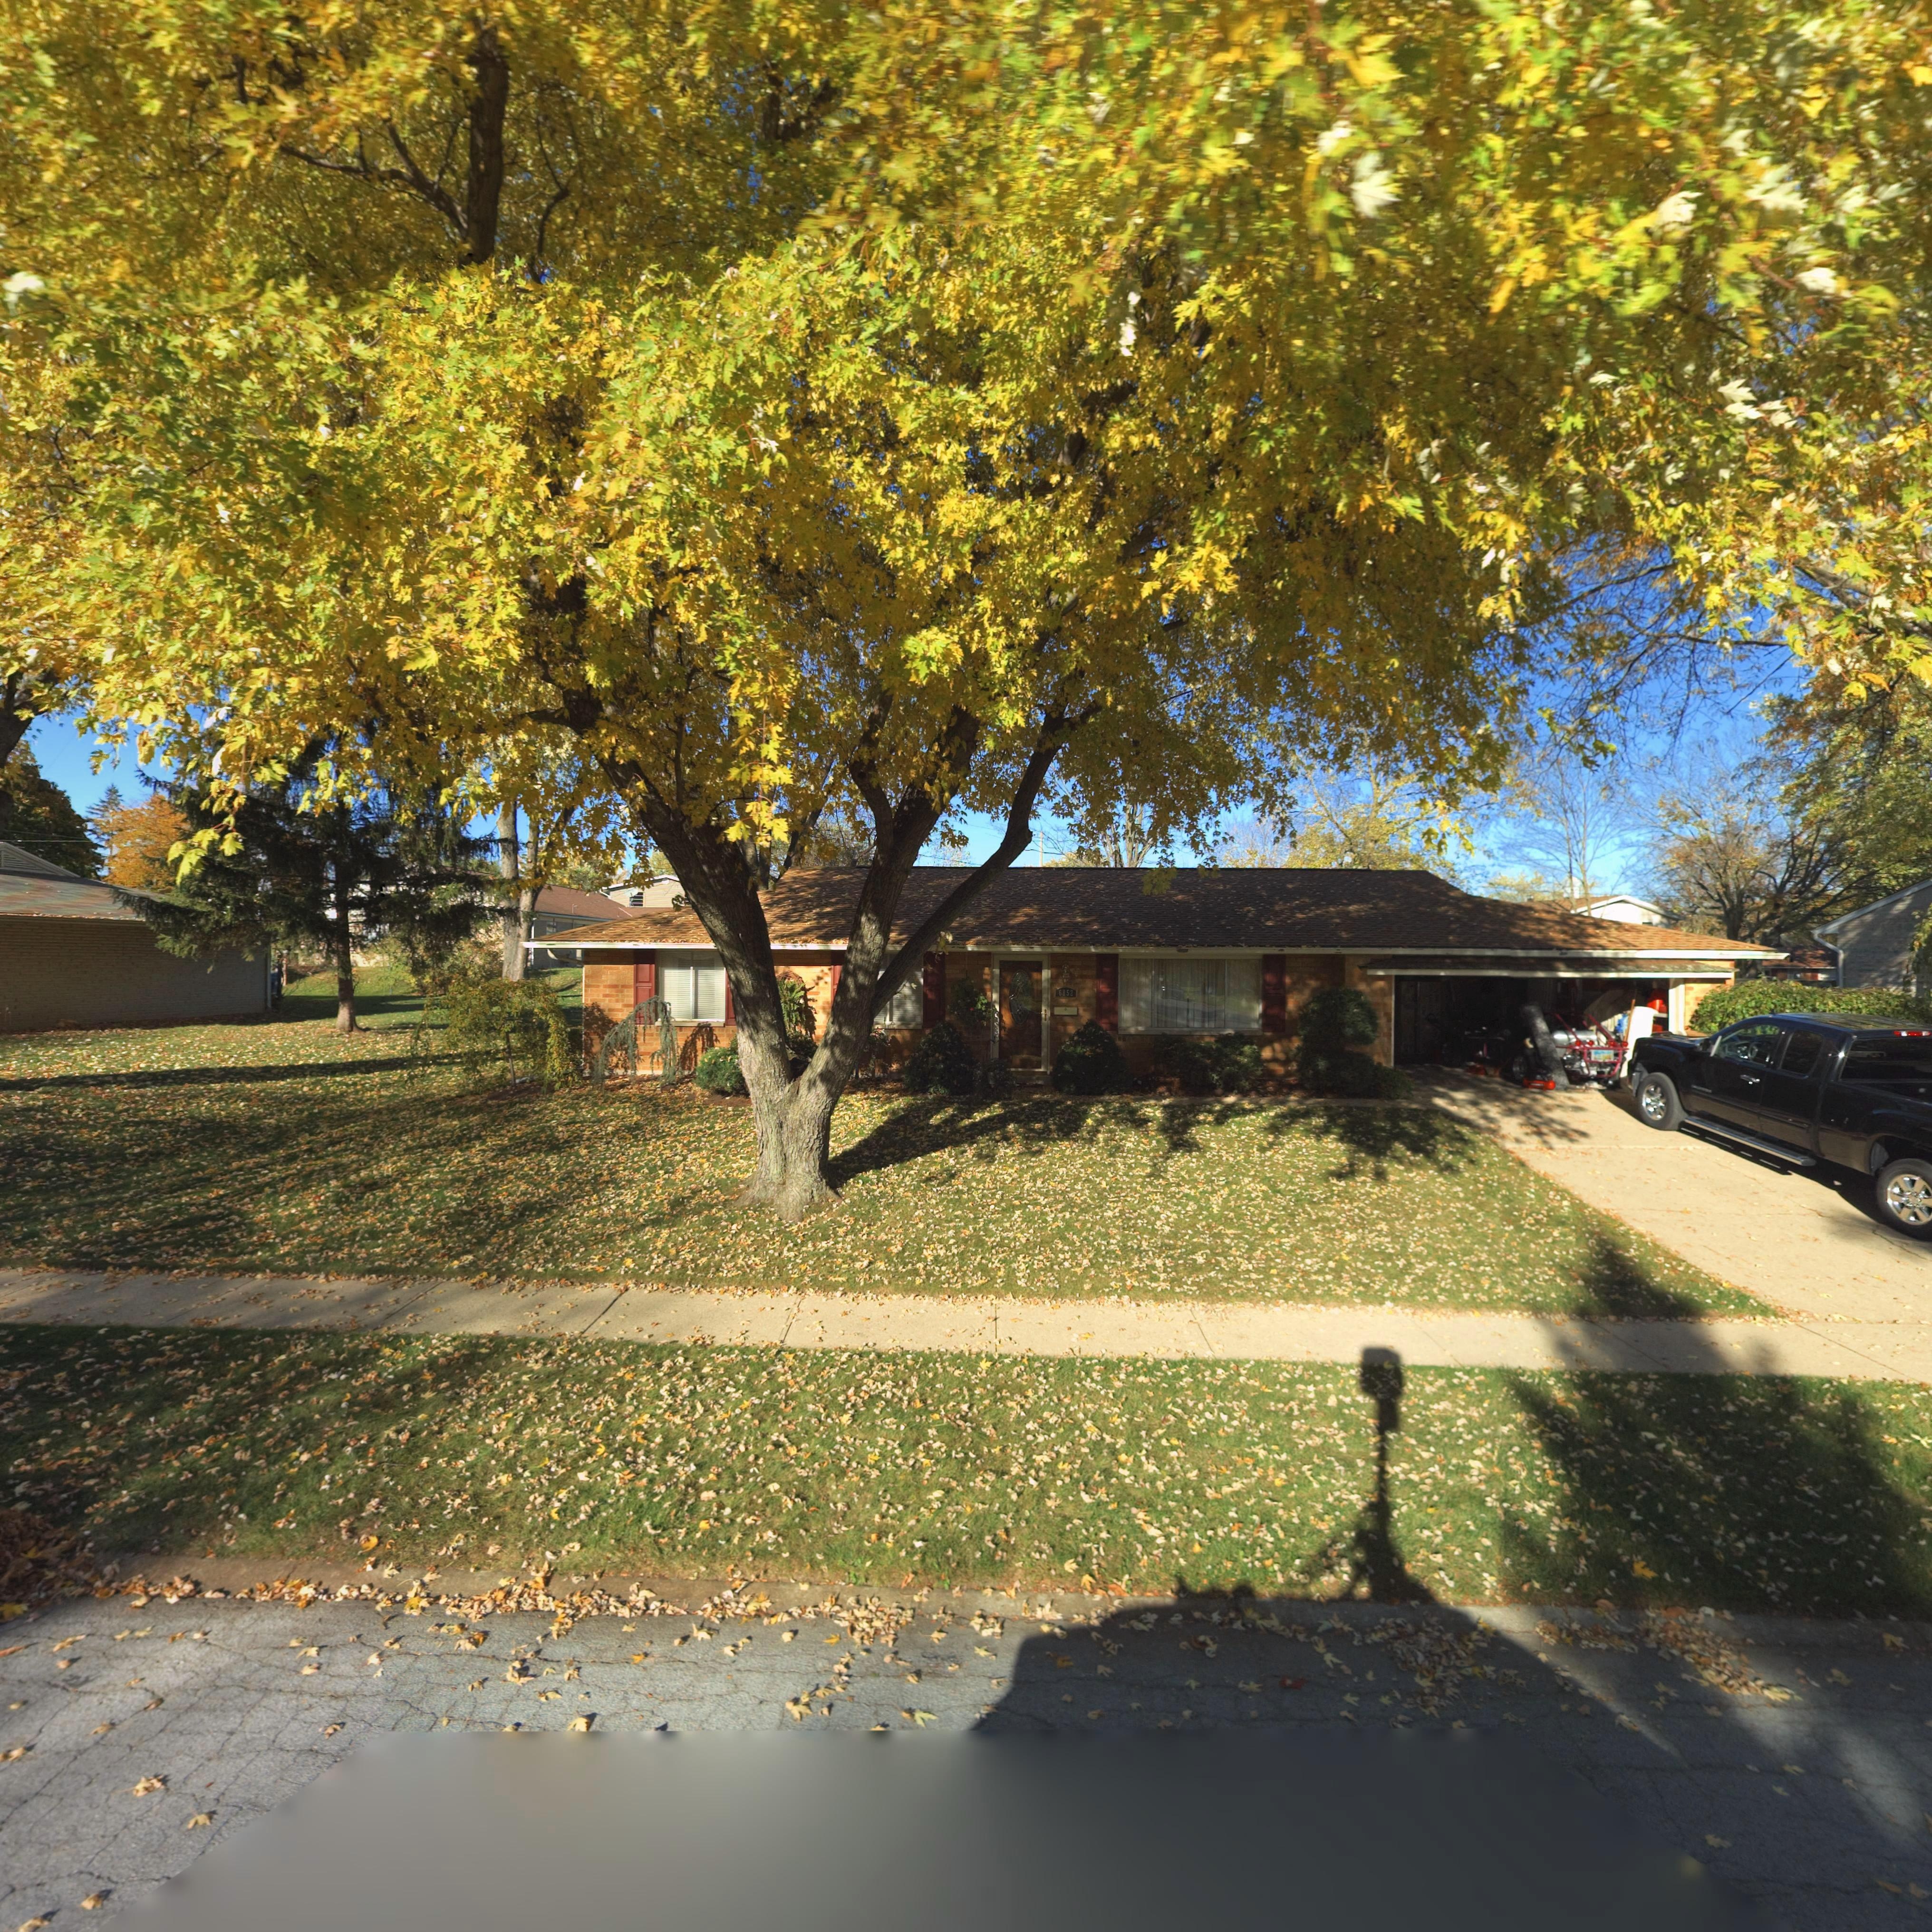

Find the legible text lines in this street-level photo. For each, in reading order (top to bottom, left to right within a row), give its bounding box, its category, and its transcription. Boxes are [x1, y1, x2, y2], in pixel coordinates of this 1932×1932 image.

[1058, 989, 1073, 996] StreetNumber: 6852